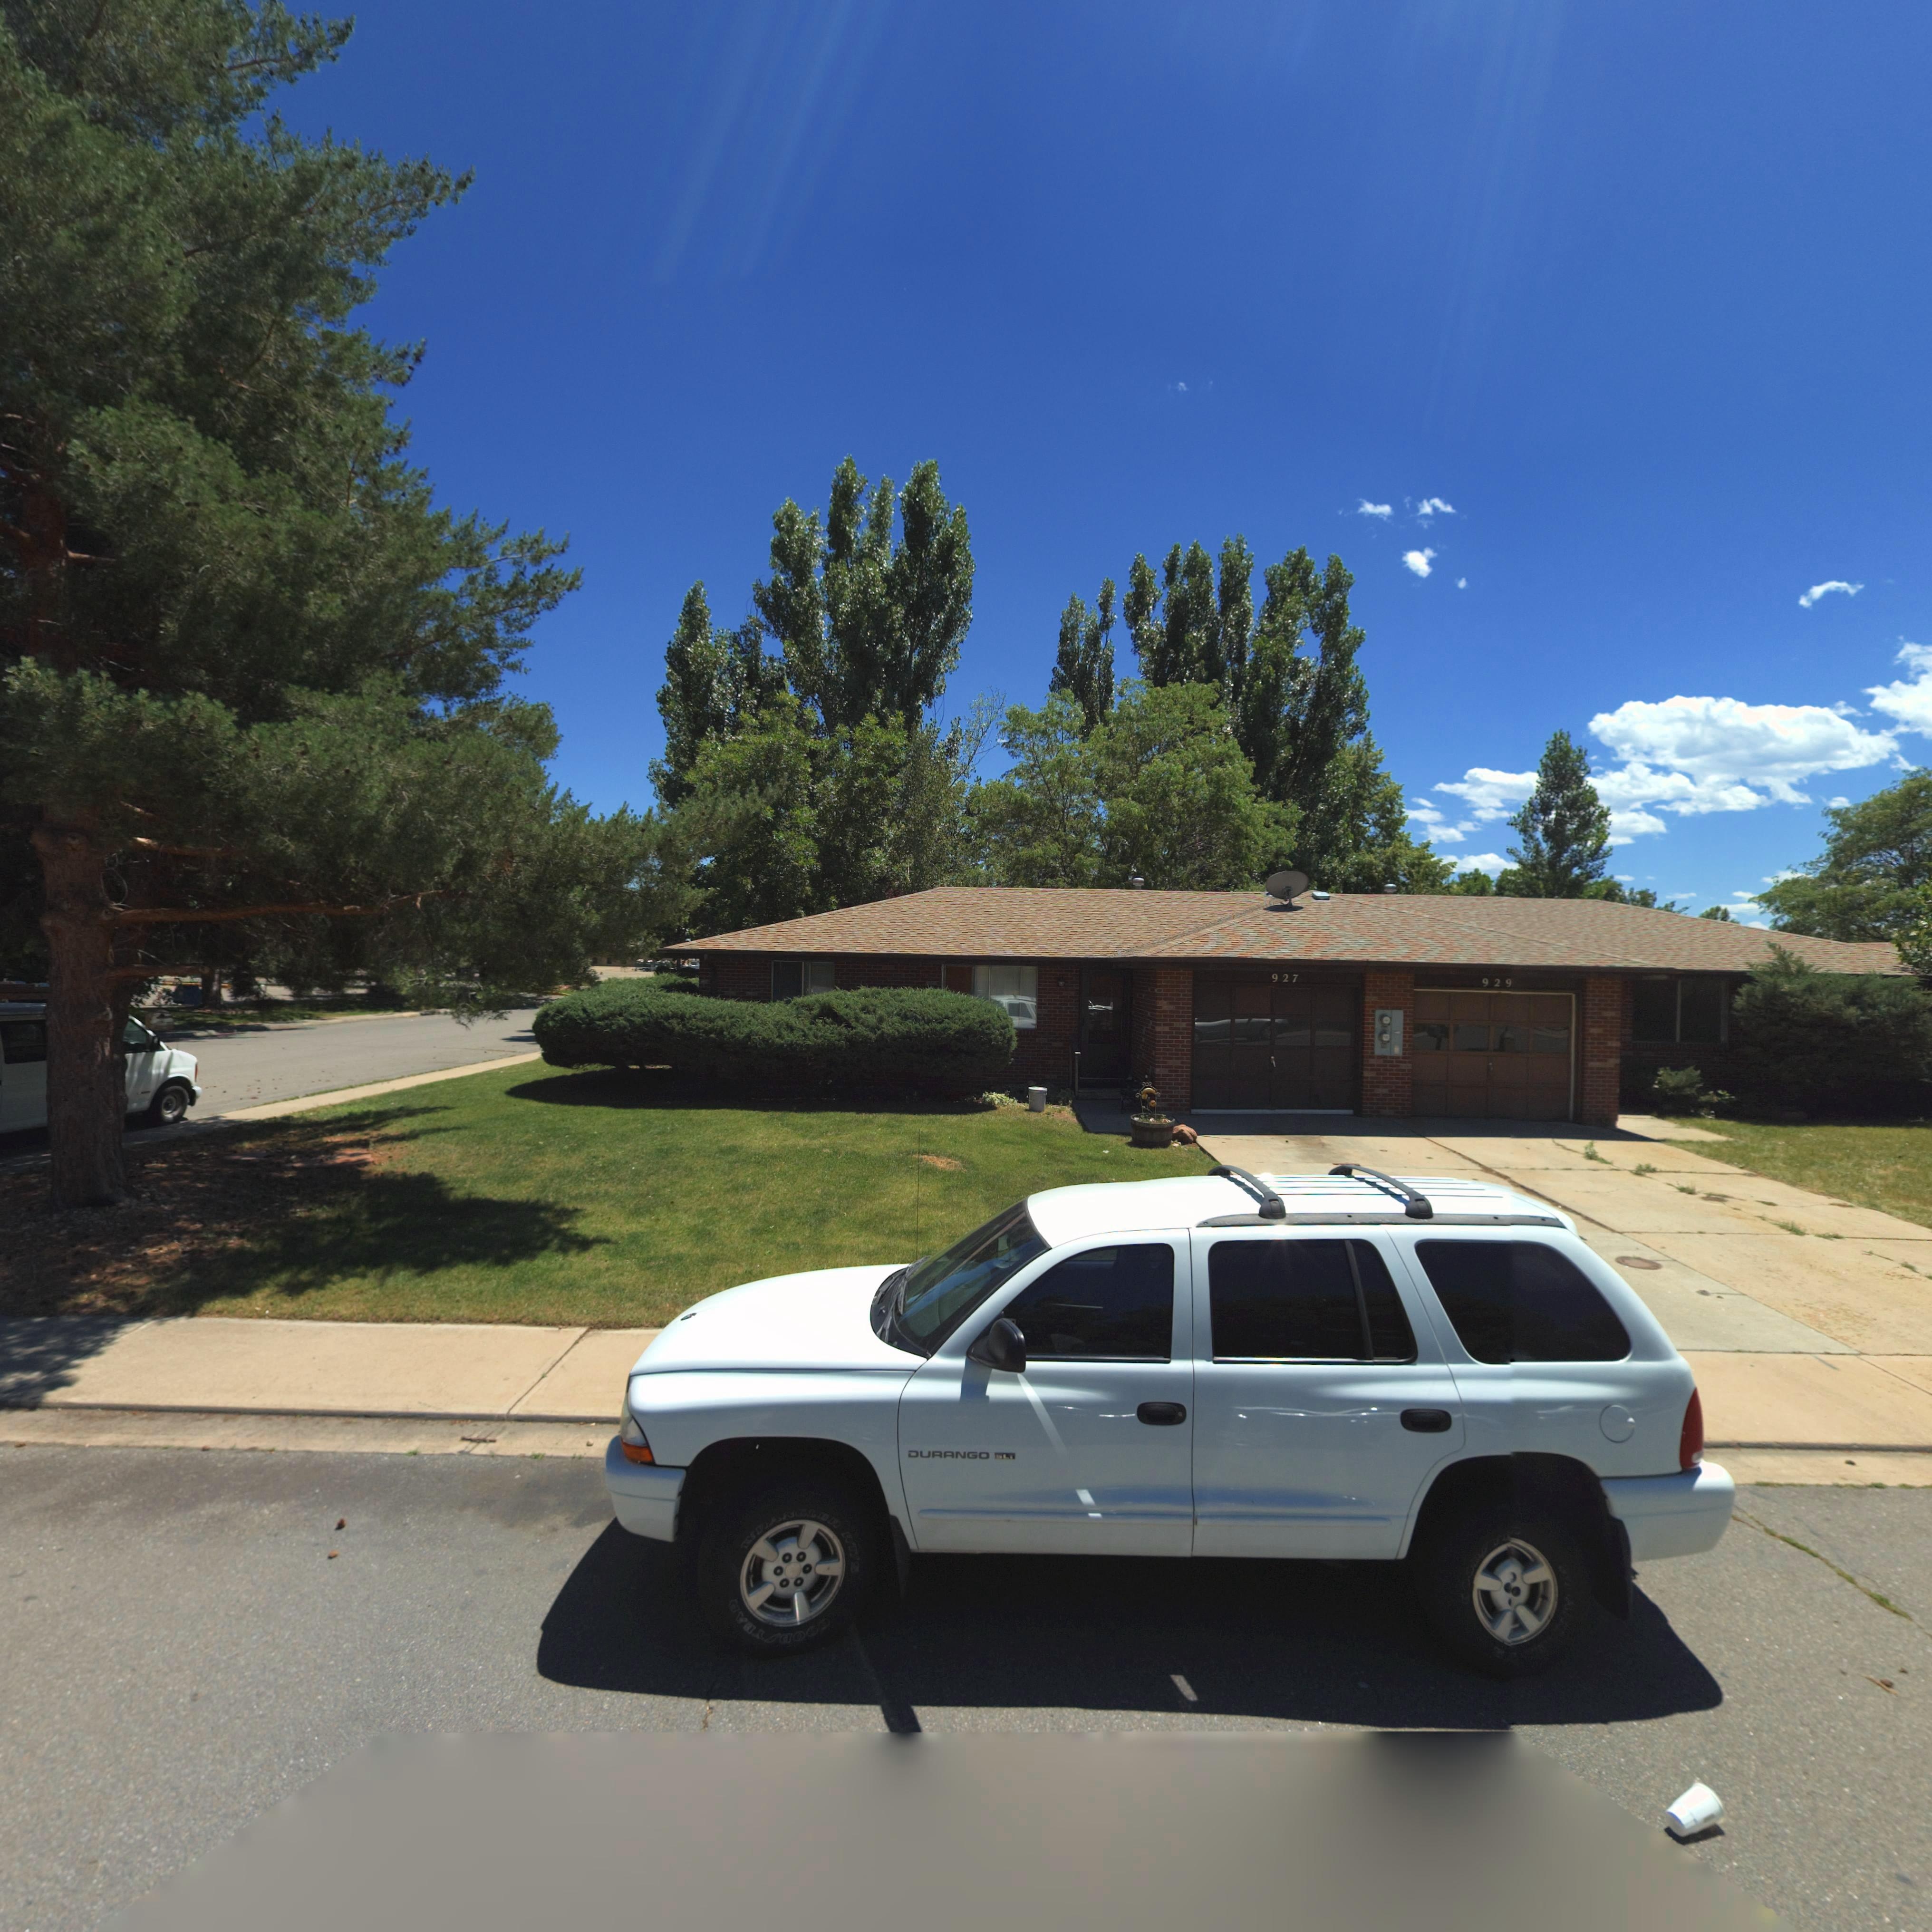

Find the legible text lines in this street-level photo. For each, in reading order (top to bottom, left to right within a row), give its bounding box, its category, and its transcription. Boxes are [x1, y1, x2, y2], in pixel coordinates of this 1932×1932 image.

[1271, 973, 1299, 983] StreetNumber: 927
[1481, 978, 1512, 987] StreetNumber: 929